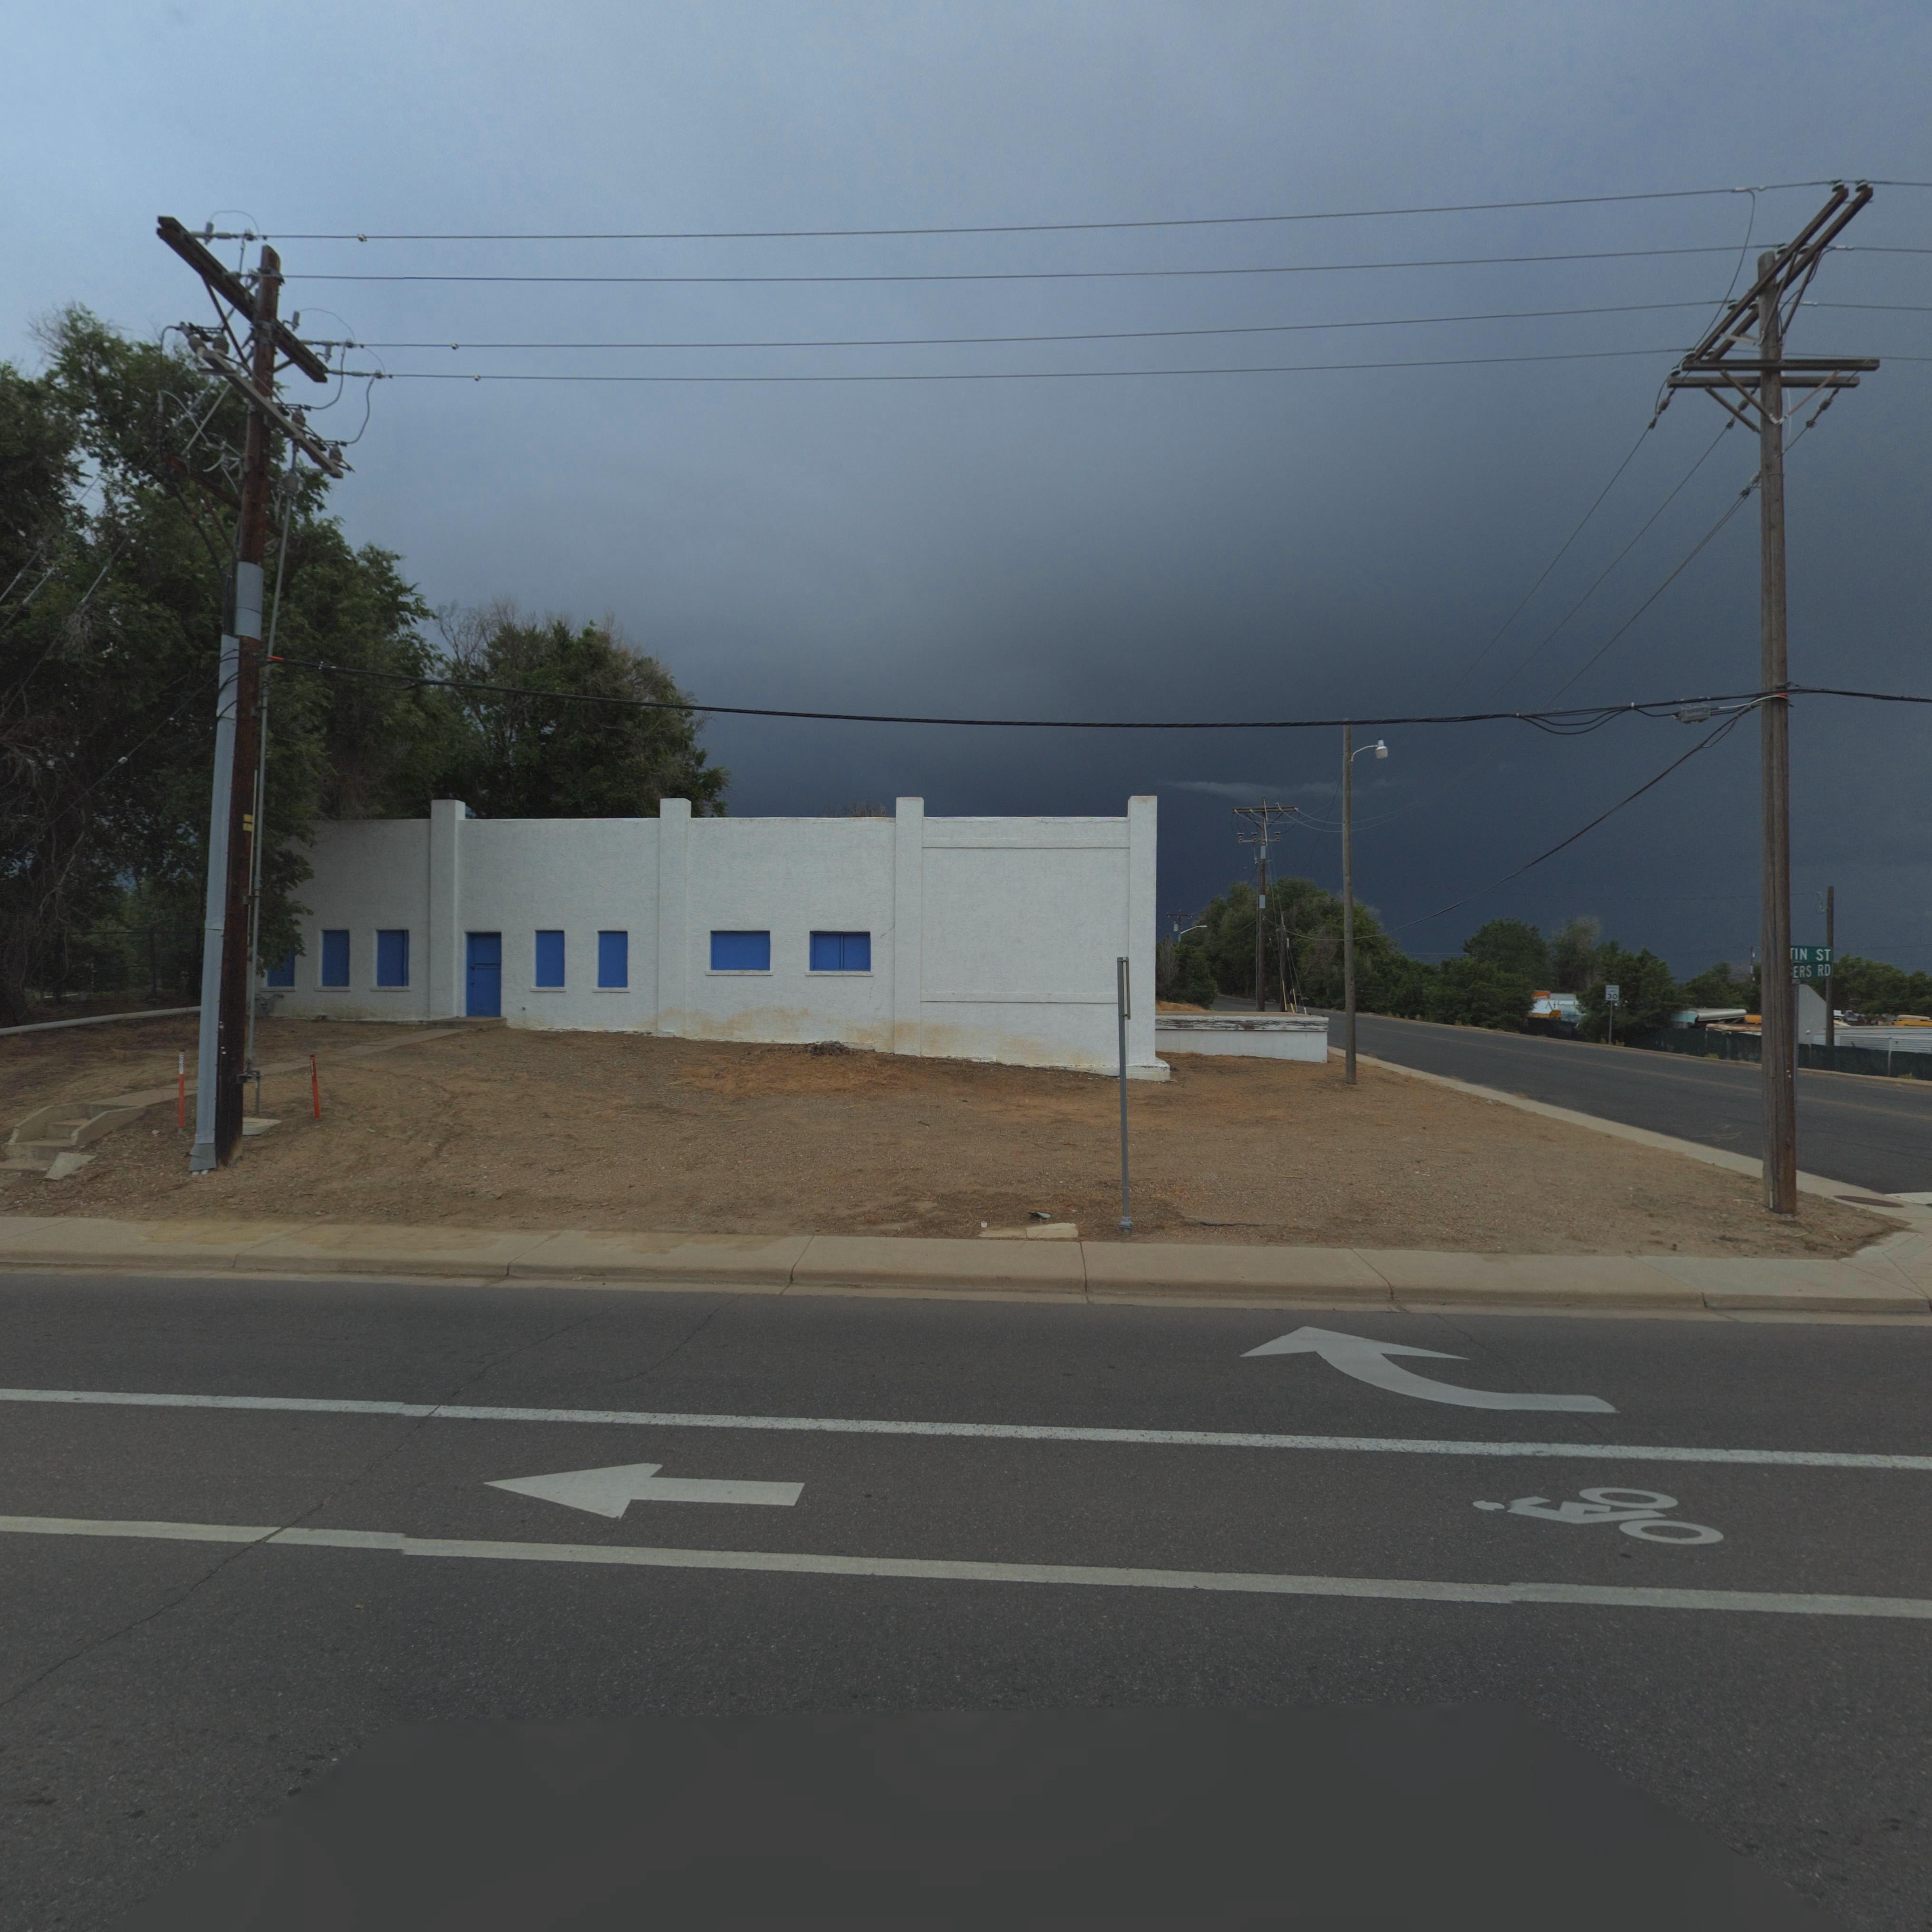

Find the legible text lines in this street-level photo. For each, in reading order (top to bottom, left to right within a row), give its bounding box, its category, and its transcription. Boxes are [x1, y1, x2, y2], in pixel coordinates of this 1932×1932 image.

[1794, 947, 1832, 961] StreetName: IN ST
[1792, 963, 1831, 978] StreetName: ERS RD